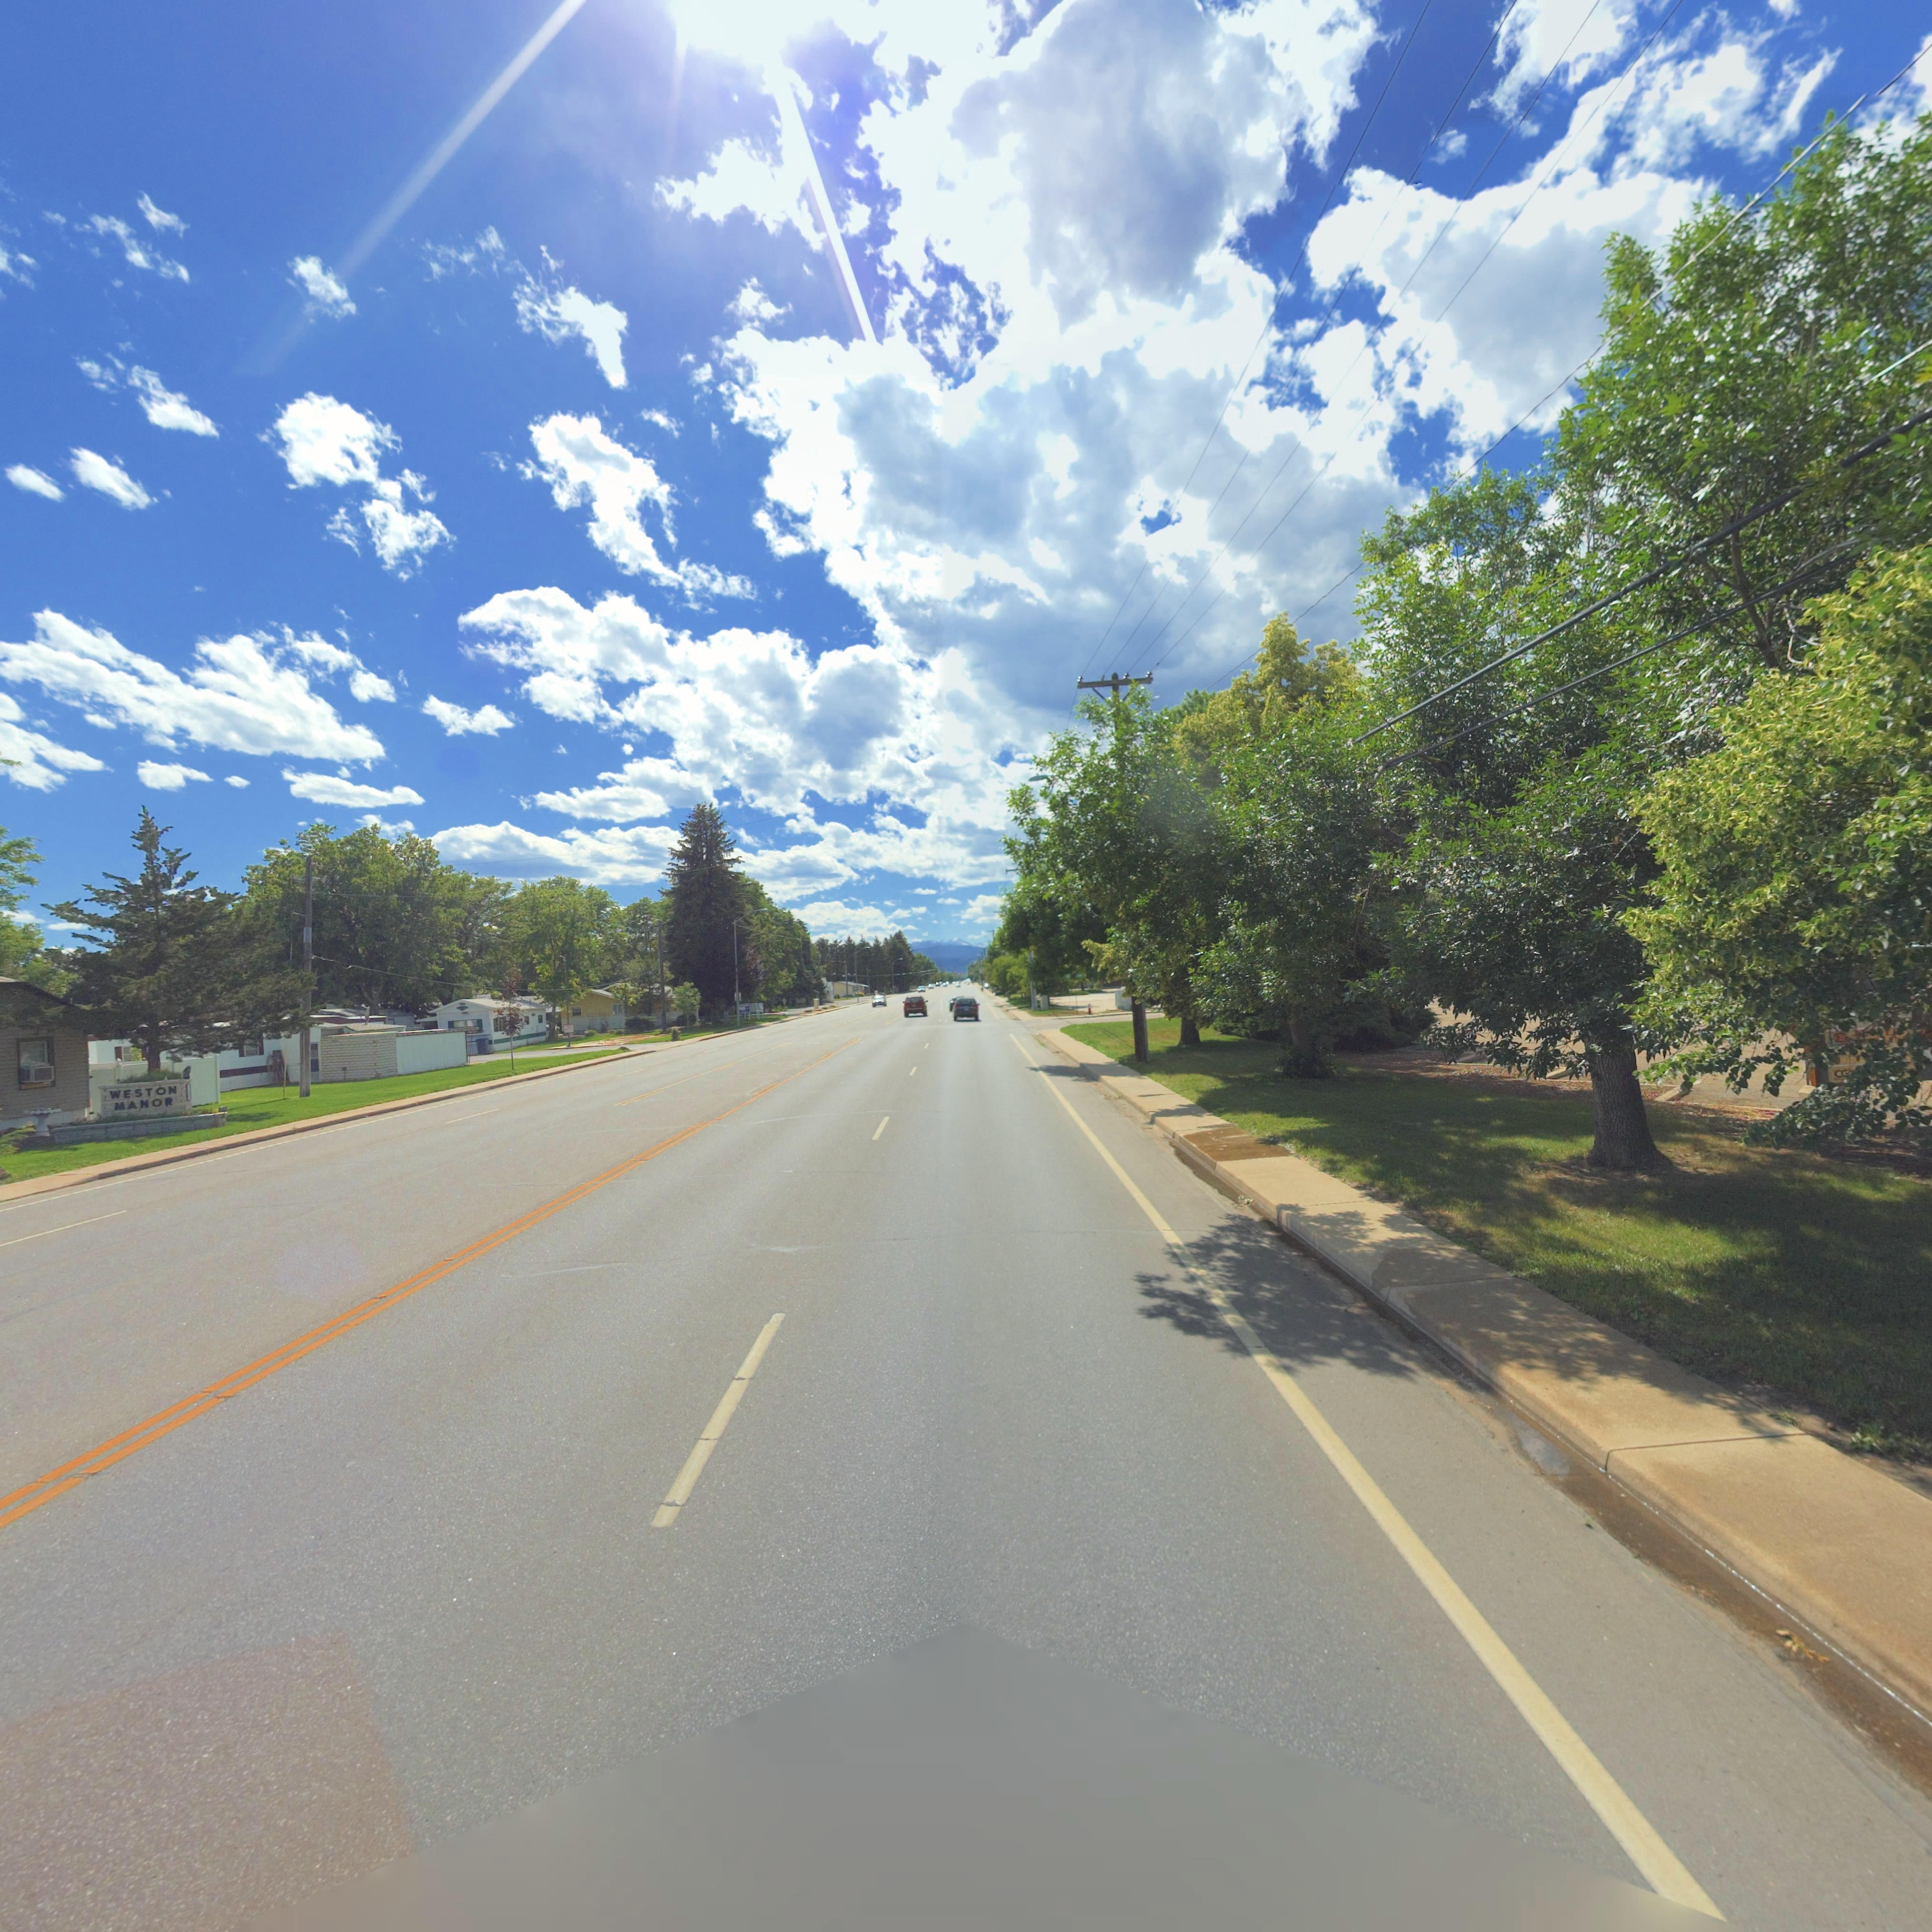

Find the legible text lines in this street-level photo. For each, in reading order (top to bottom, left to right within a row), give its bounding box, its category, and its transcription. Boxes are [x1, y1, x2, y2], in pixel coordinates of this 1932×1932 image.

[107, 1084, 178, 1100] BusinessName: WESTON
[114, 1096, 174, 1111] BusinessName: MANOR